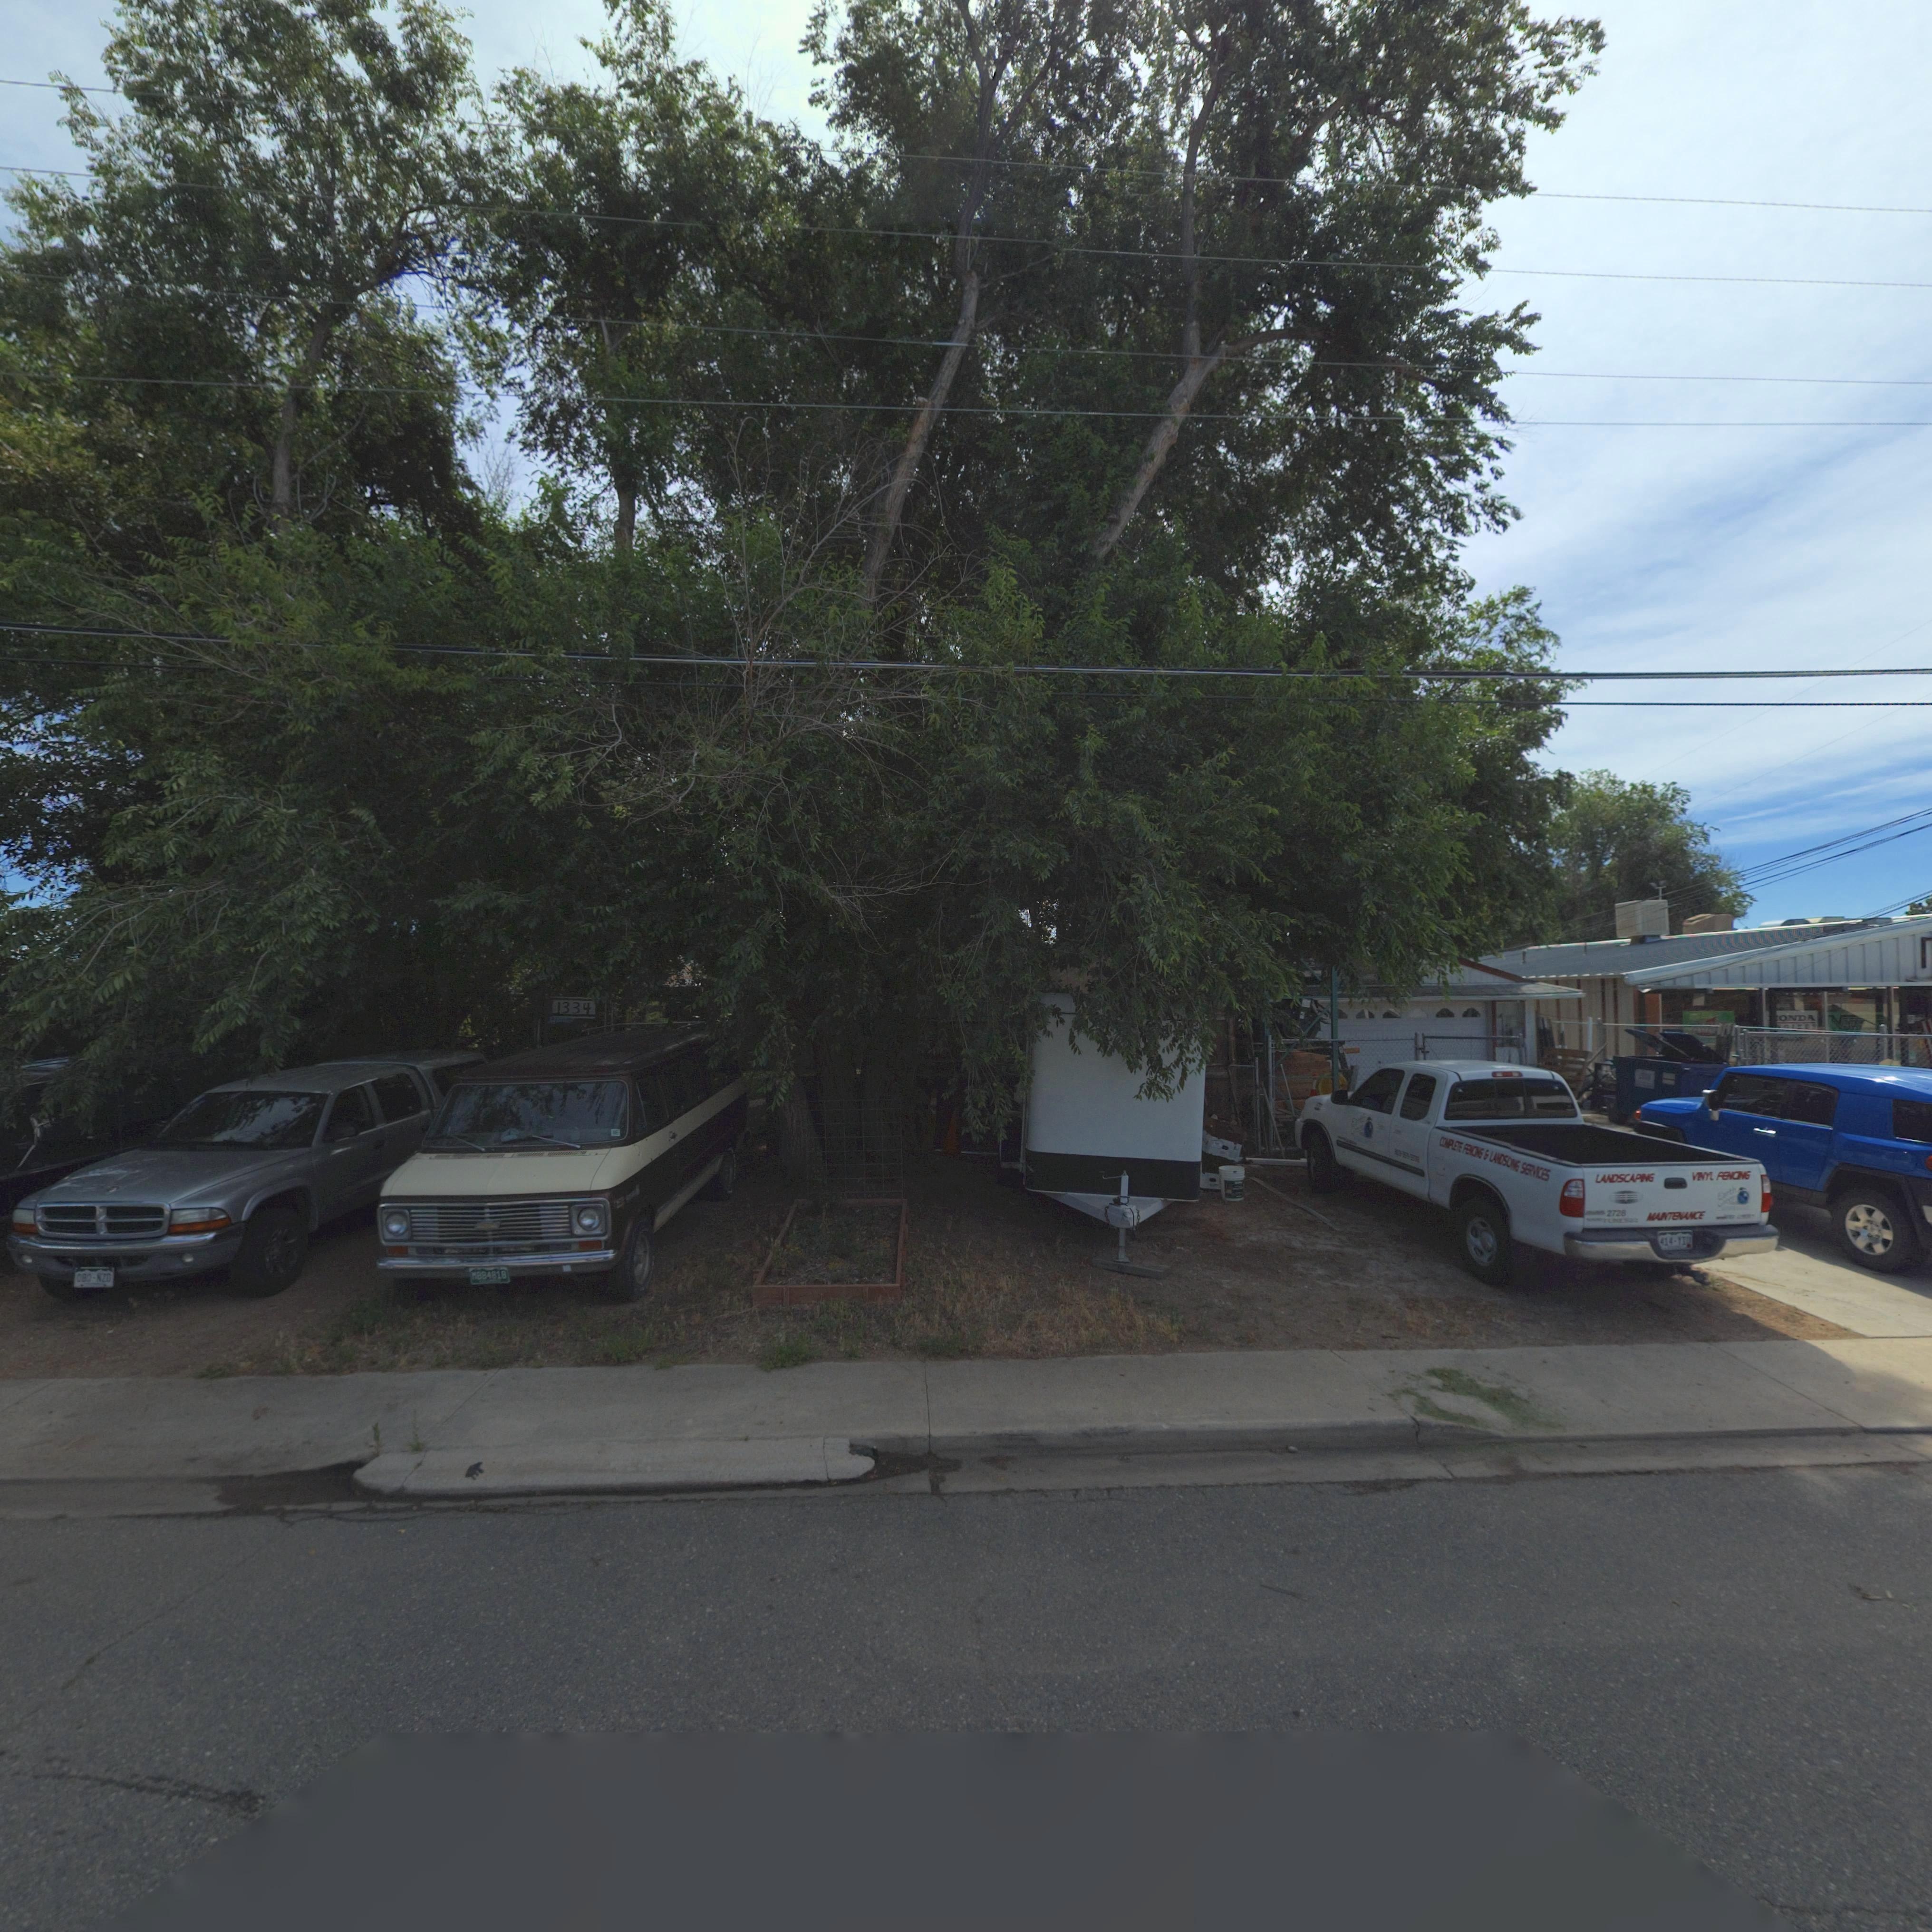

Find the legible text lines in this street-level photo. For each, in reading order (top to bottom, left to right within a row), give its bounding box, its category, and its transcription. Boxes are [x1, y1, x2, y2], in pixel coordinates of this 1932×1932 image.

[557, 1001, 591, 1014] StreetNumber: 1334